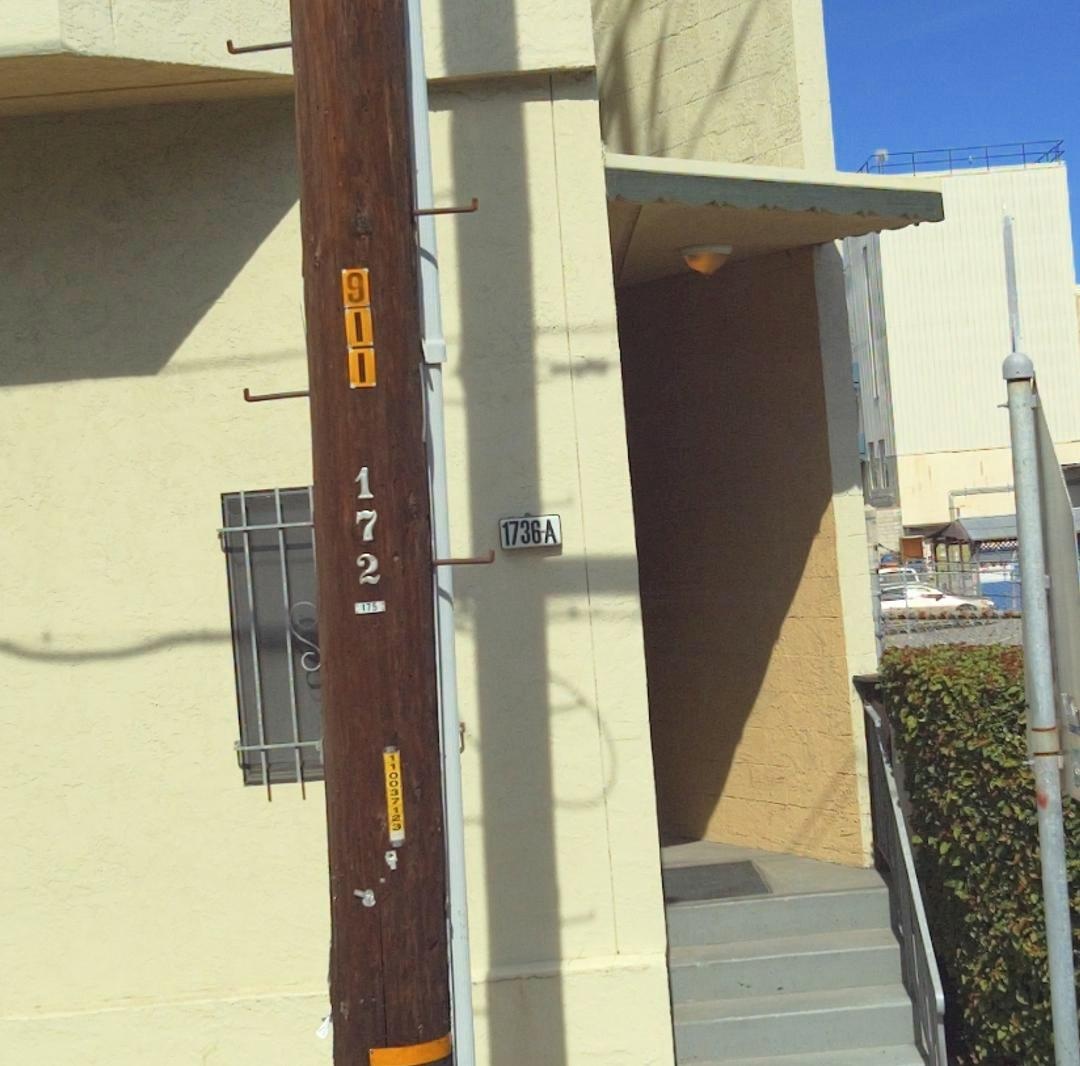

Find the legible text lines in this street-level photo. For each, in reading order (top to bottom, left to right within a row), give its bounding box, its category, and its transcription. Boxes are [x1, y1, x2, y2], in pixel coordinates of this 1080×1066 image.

[345, 270, 368, 385] None: 911
[352, 465, 383, 586] None: 172
[500, 518, 560, 547] StreetNumber: 1736-A
[360, 601, 380, 613] None: 175
[388, 754, 402, 831] None: 110037123